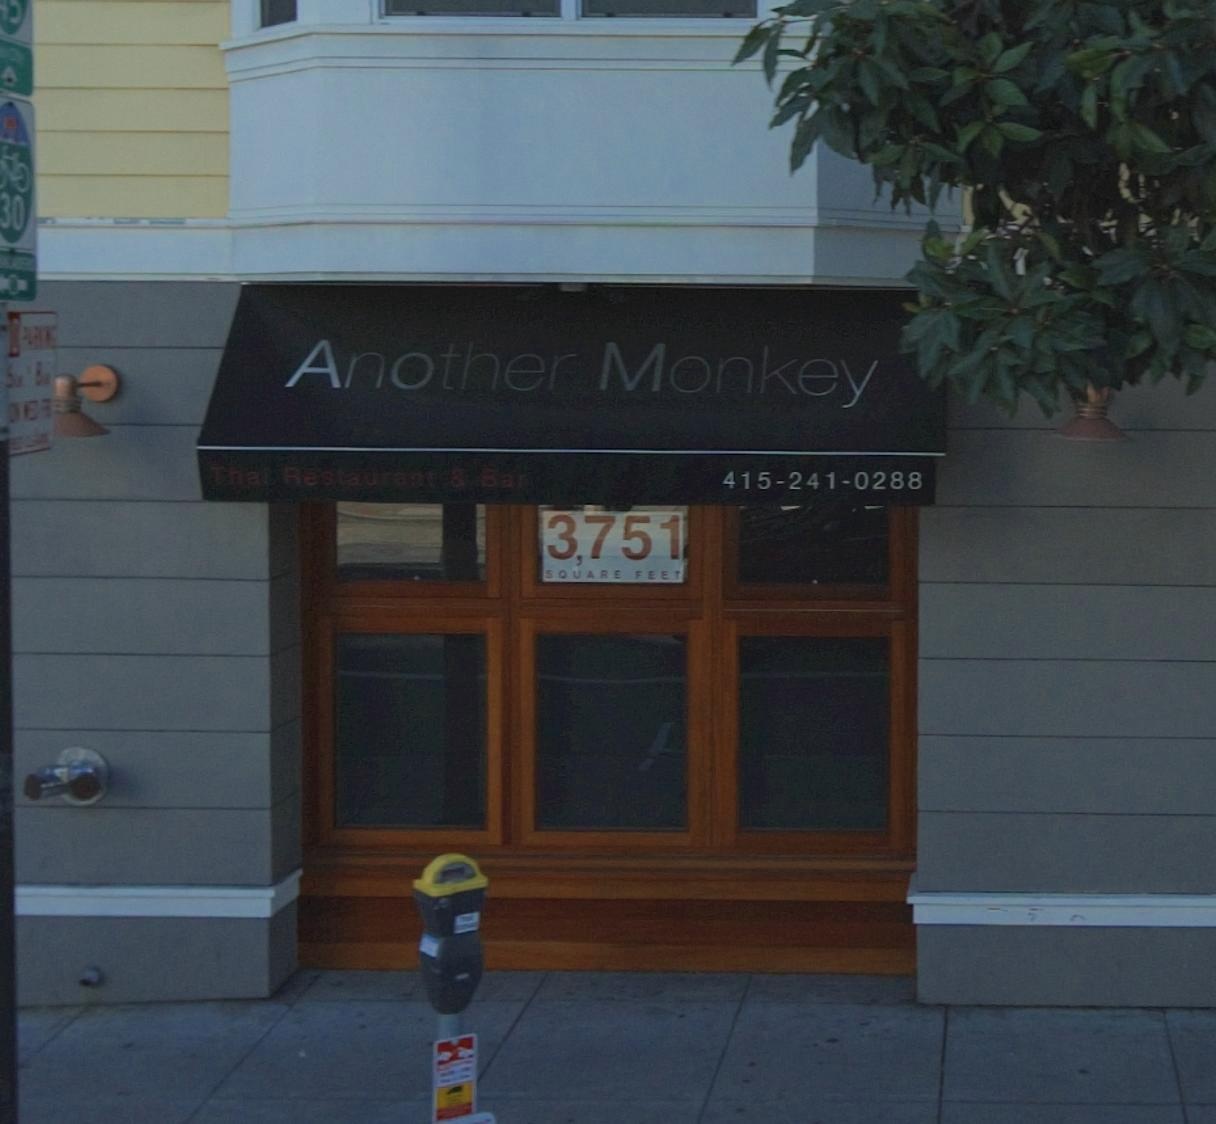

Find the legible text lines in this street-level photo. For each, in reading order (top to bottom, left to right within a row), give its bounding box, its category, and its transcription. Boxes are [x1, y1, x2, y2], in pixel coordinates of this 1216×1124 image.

[0, 190, 27, 233] None: 30
[282, 336, 885, 410] BusinessName: Another Monkey
[207, 462, 529, 489] None: Thai Restaurant & Bar
[720, 468, 927, 491] None: 415-241-0288
[545, 512, 683, 563] None: 3751
[545, 568, 682, 581] None: SQUARE FEET